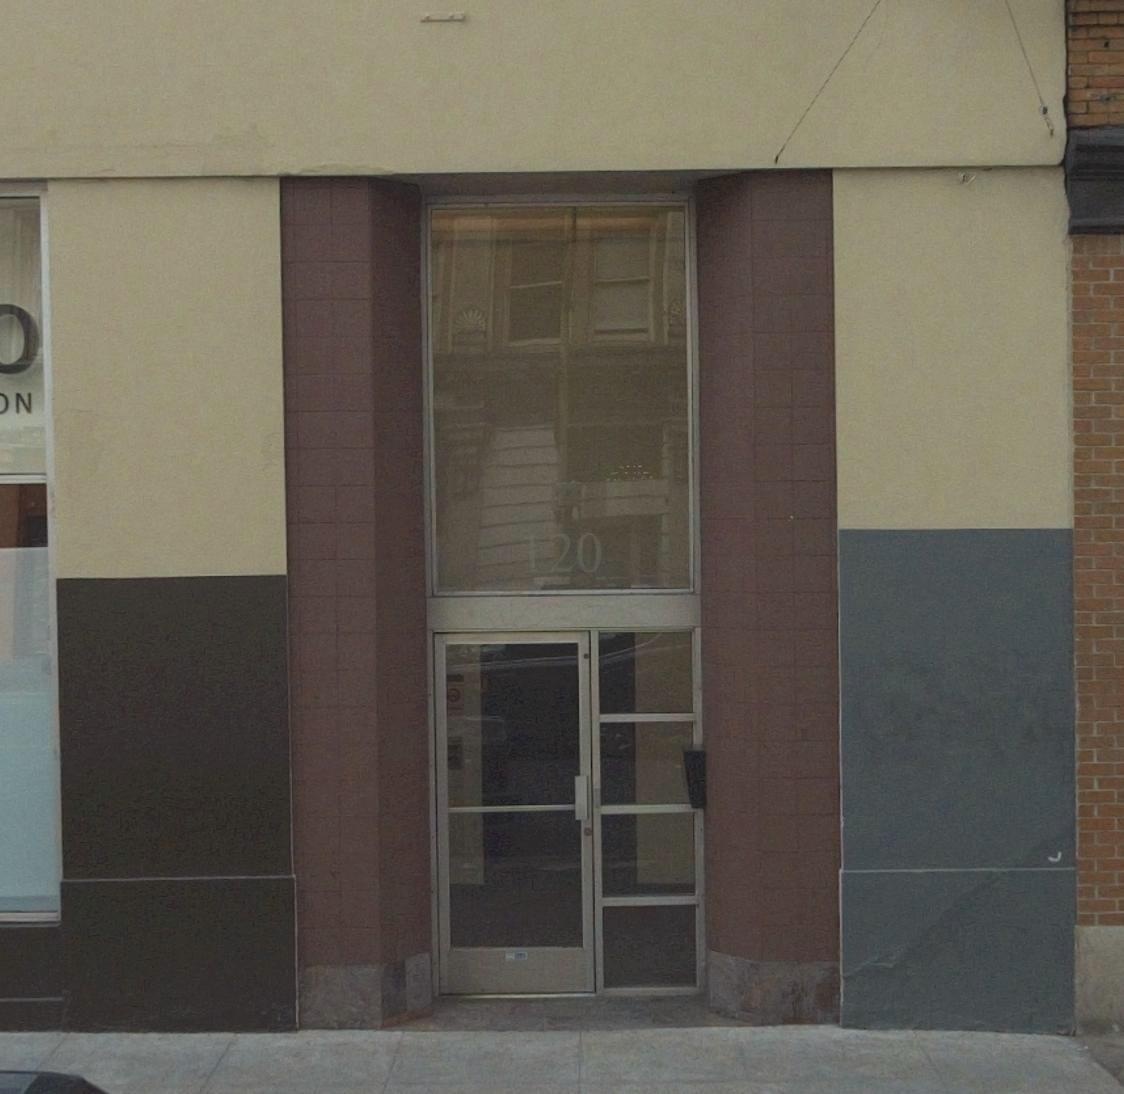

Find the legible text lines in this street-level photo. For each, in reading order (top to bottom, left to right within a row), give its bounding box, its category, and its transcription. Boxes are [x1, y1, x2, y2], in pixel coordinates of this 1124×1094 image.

[13, 389, 35, 417] None: N
[524, 529, 603, 576] StreetNumber: 120